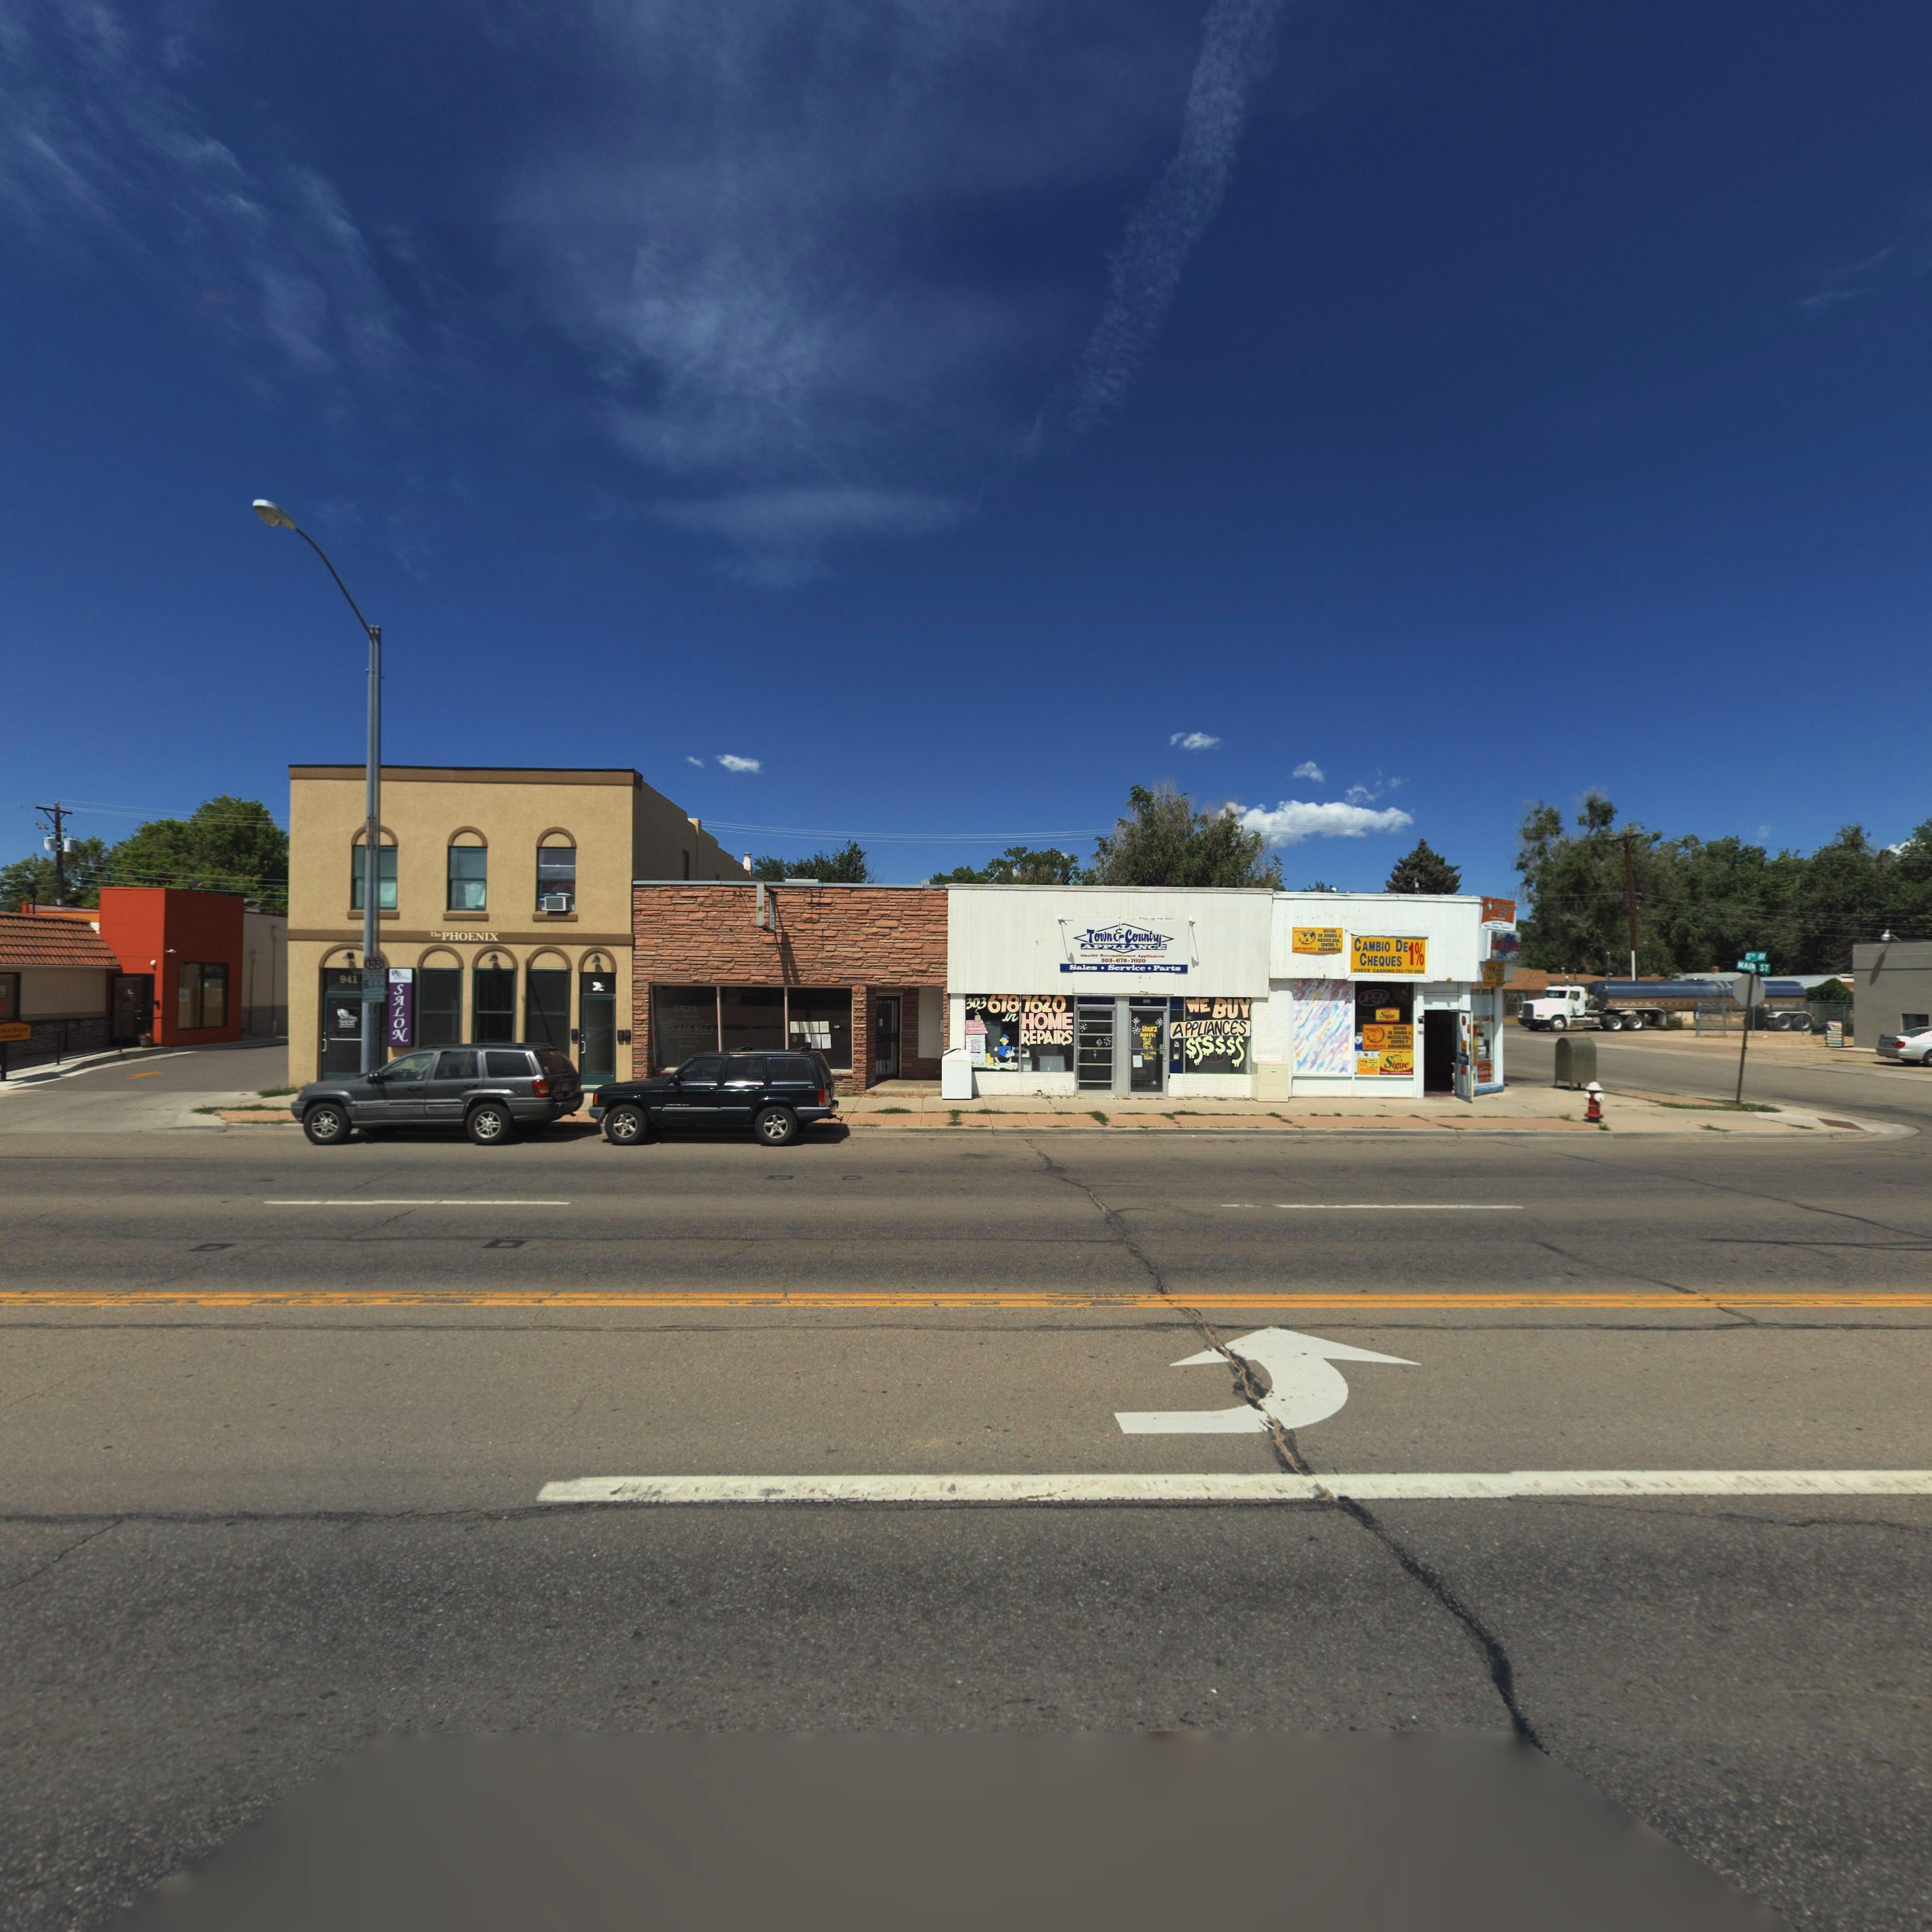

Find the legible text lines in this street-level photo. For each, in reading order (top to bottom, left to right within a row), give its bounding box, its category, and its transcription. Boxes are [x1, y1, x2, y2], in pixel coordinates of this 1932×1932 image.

[429, 931, 499, 941] BusinessName: The PHOENIX
[1087, 928, 1161, 947] BusinessName: Town & Country
[1080, 944, 1166, 949] BusinessName: APPLIANCE
[1491, 938, 1520, 952] BusinessName: C****** ******
[1745, 953, 1766, 960] StreetName: 10TH AV
[1737, 961, 1769, 971] StreetName: MAIN ST
[339, 975, 357, 984] StreetNumber: 941
[1142, 999, 1150, 1004] StreetNumber: 945